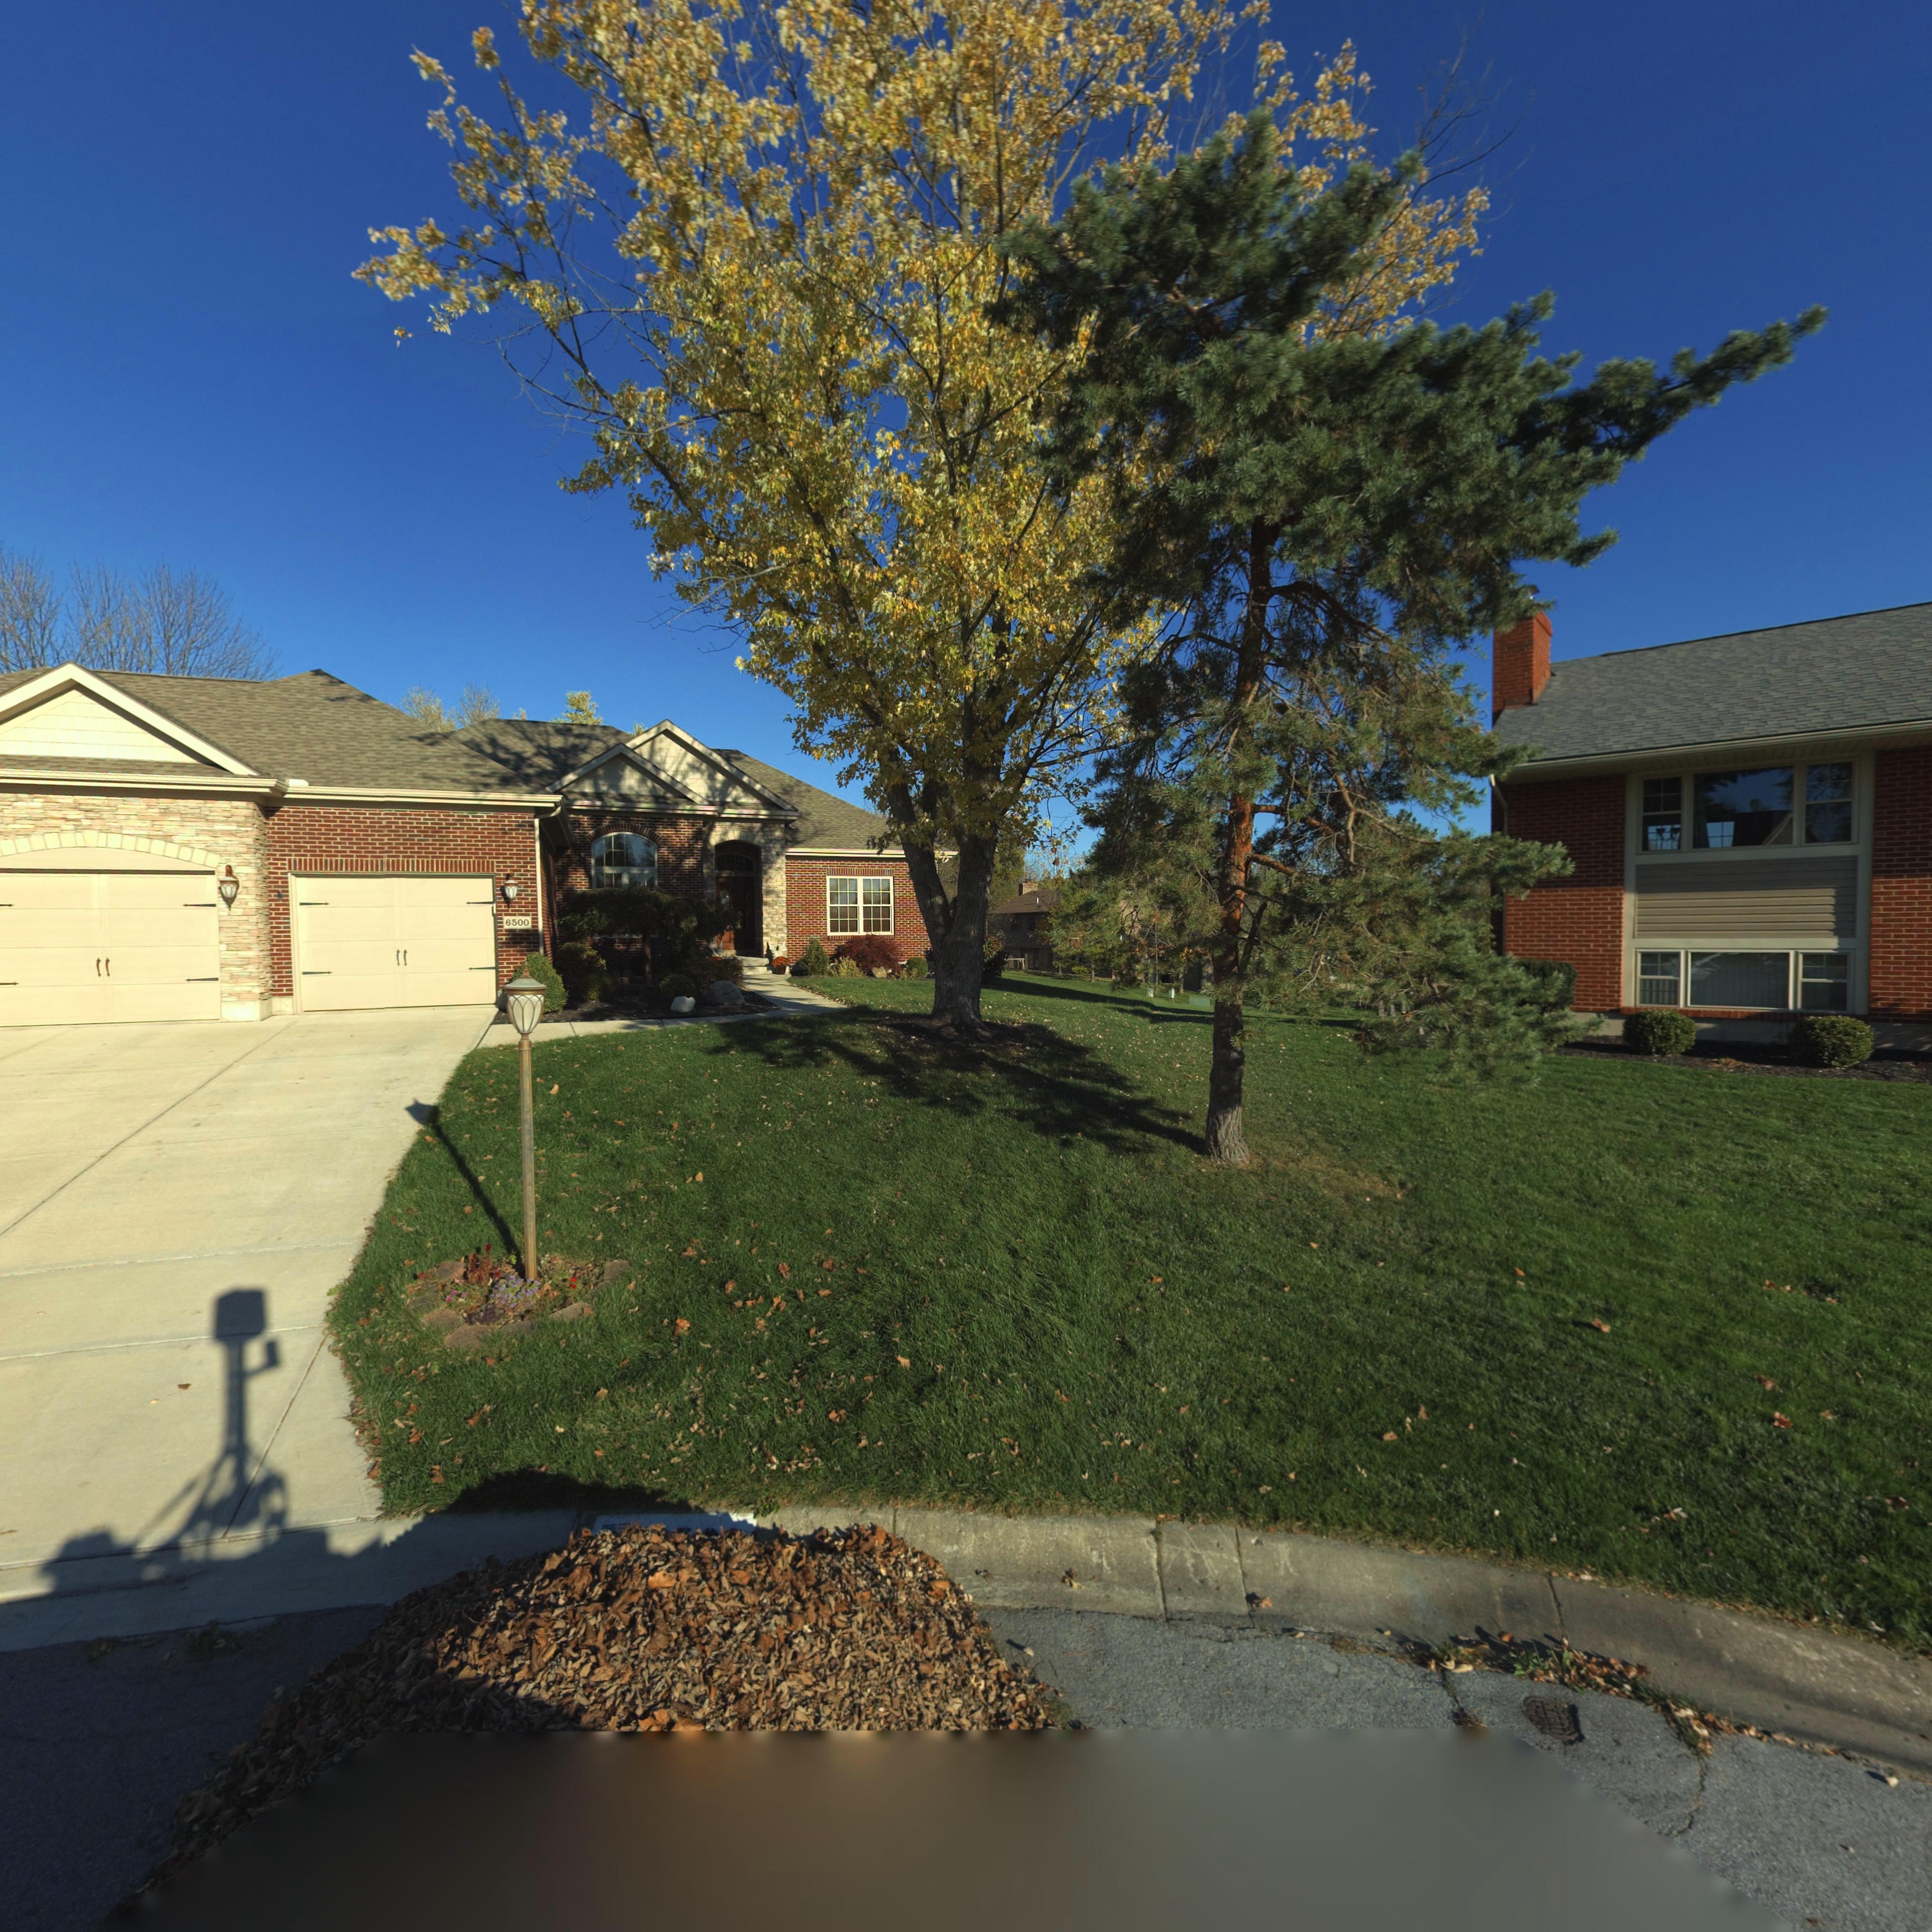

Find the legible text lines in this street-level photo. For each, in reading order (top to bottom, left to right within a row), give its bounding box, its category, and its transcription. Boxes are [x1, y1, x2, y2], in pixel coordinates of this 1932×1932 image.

[504, 918, 531, 927] StreetNumber: 6500